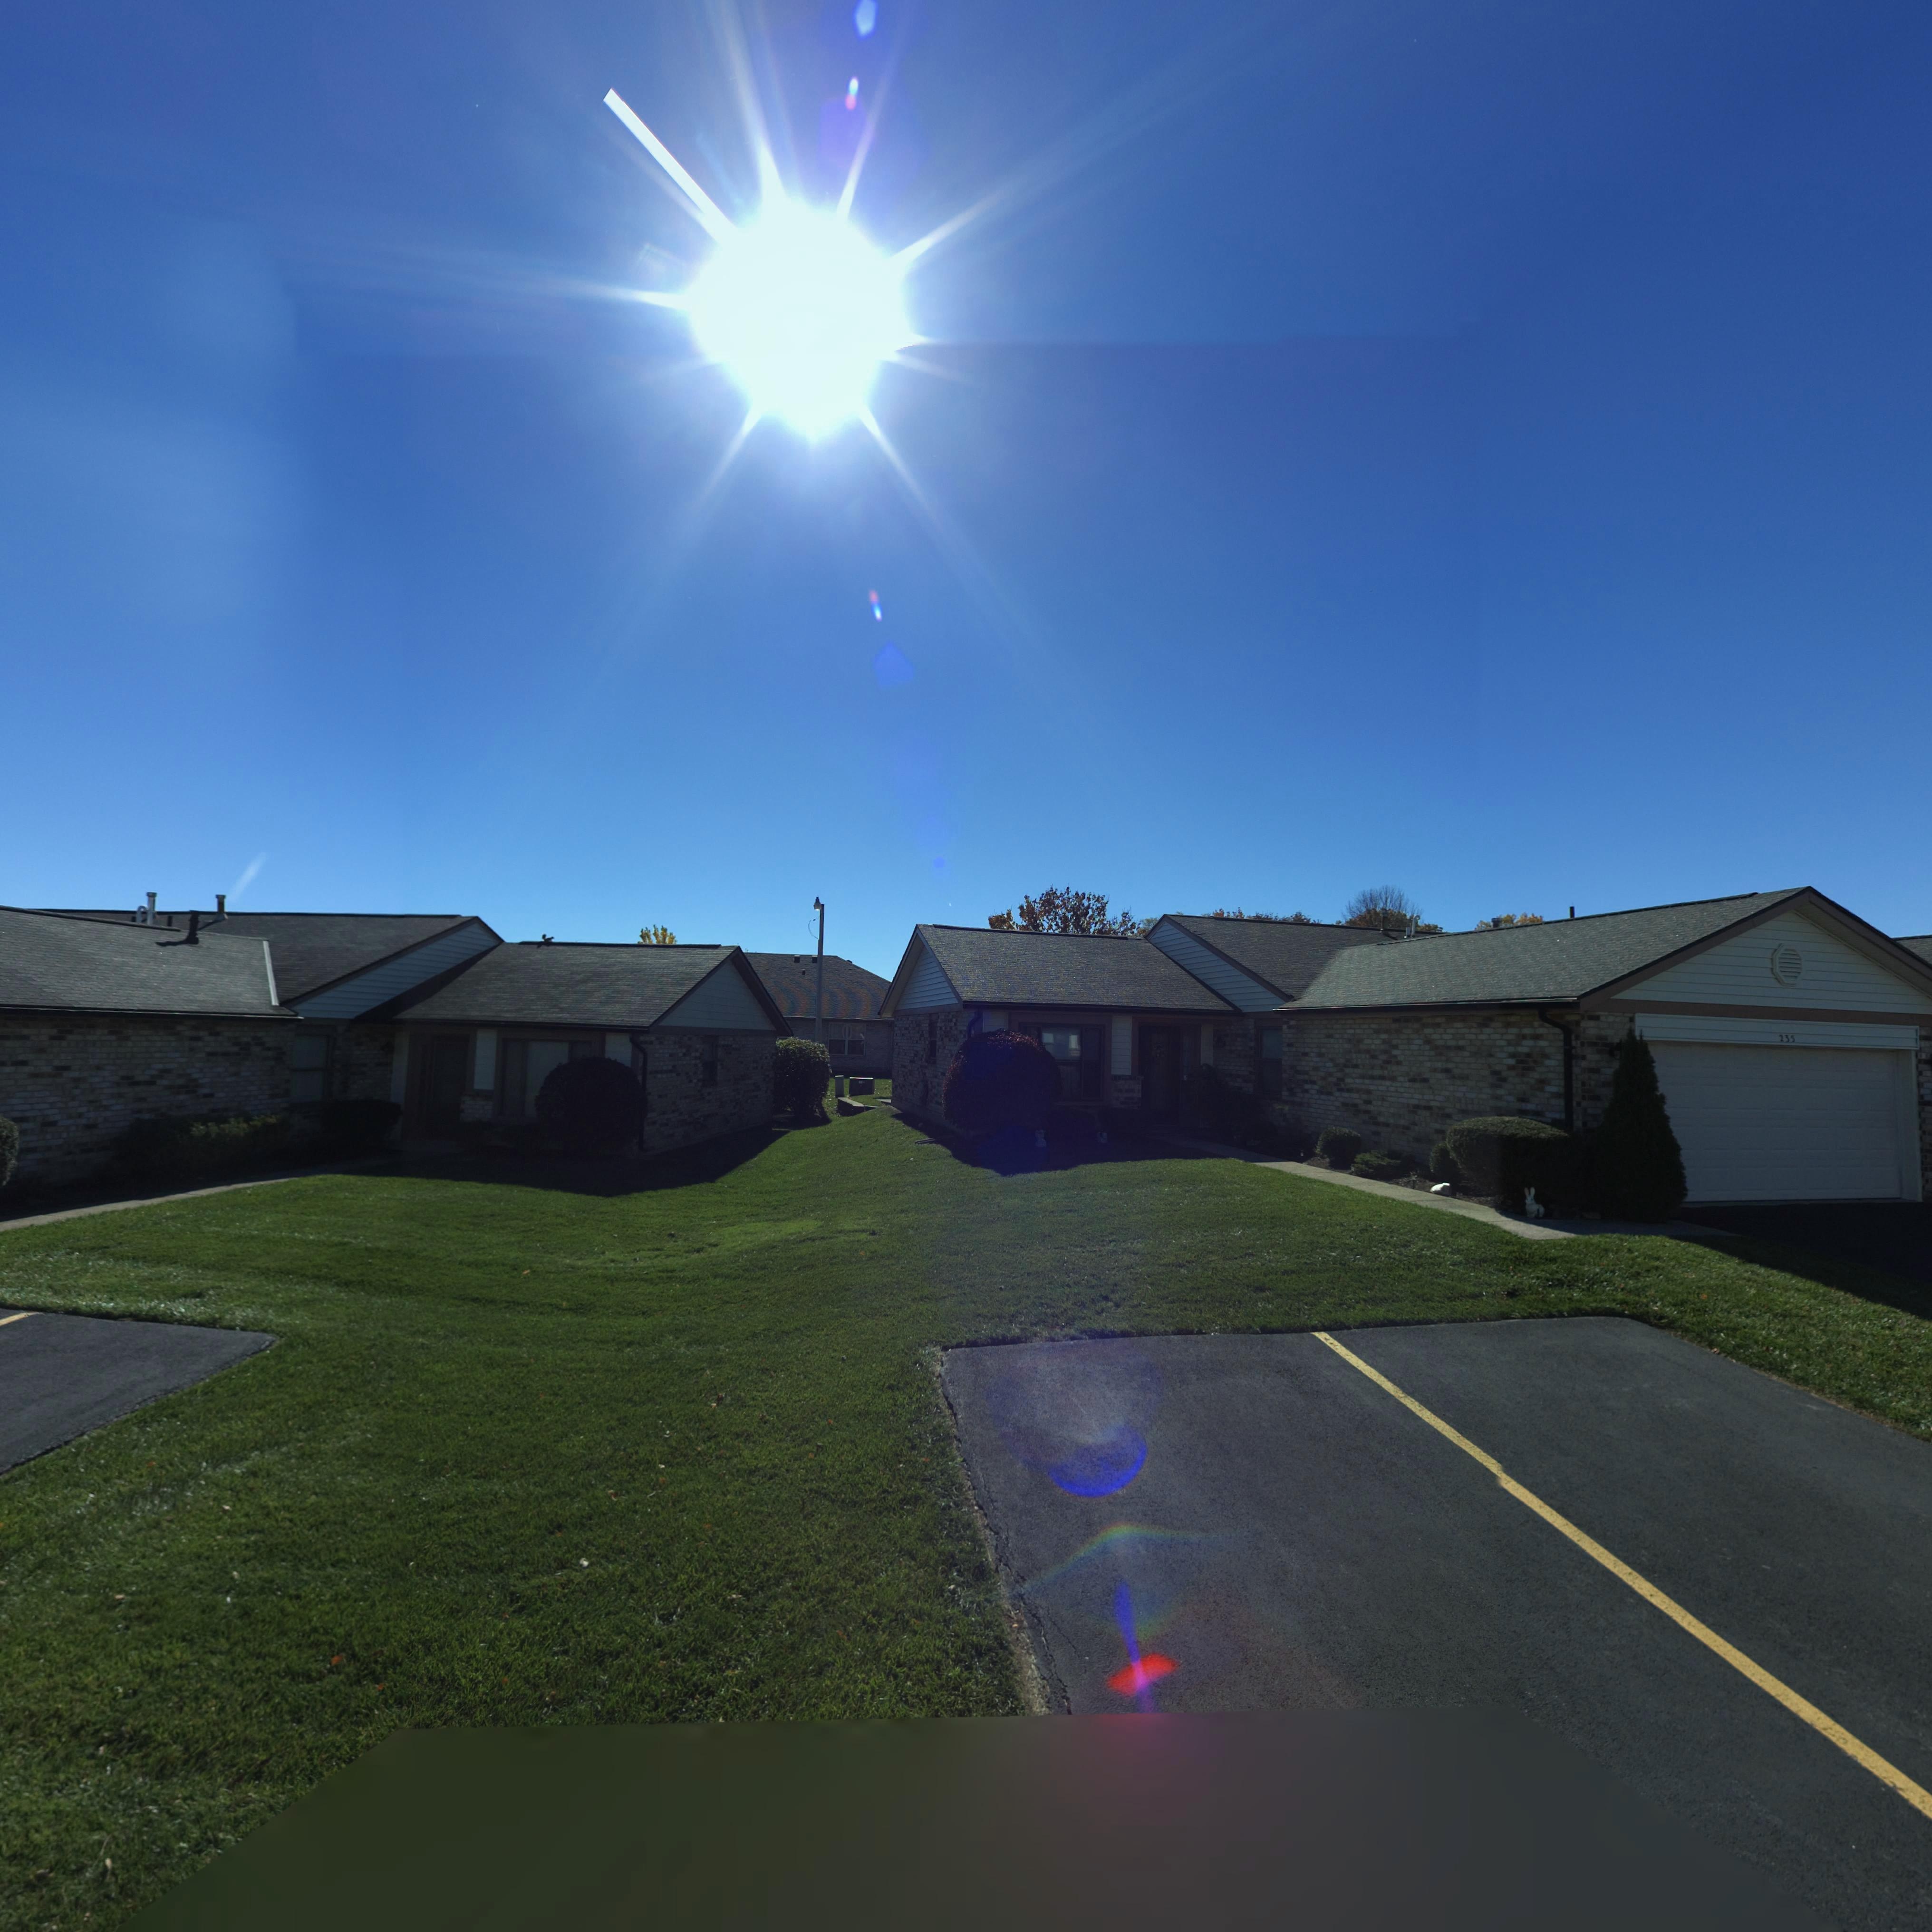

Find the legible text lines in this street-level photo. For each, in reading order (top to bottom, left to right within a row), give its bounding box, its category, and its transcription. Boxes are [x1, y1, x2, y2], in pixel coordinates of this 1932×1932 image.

[1777, 1033, 1797, 1044] StreetNumber: 235